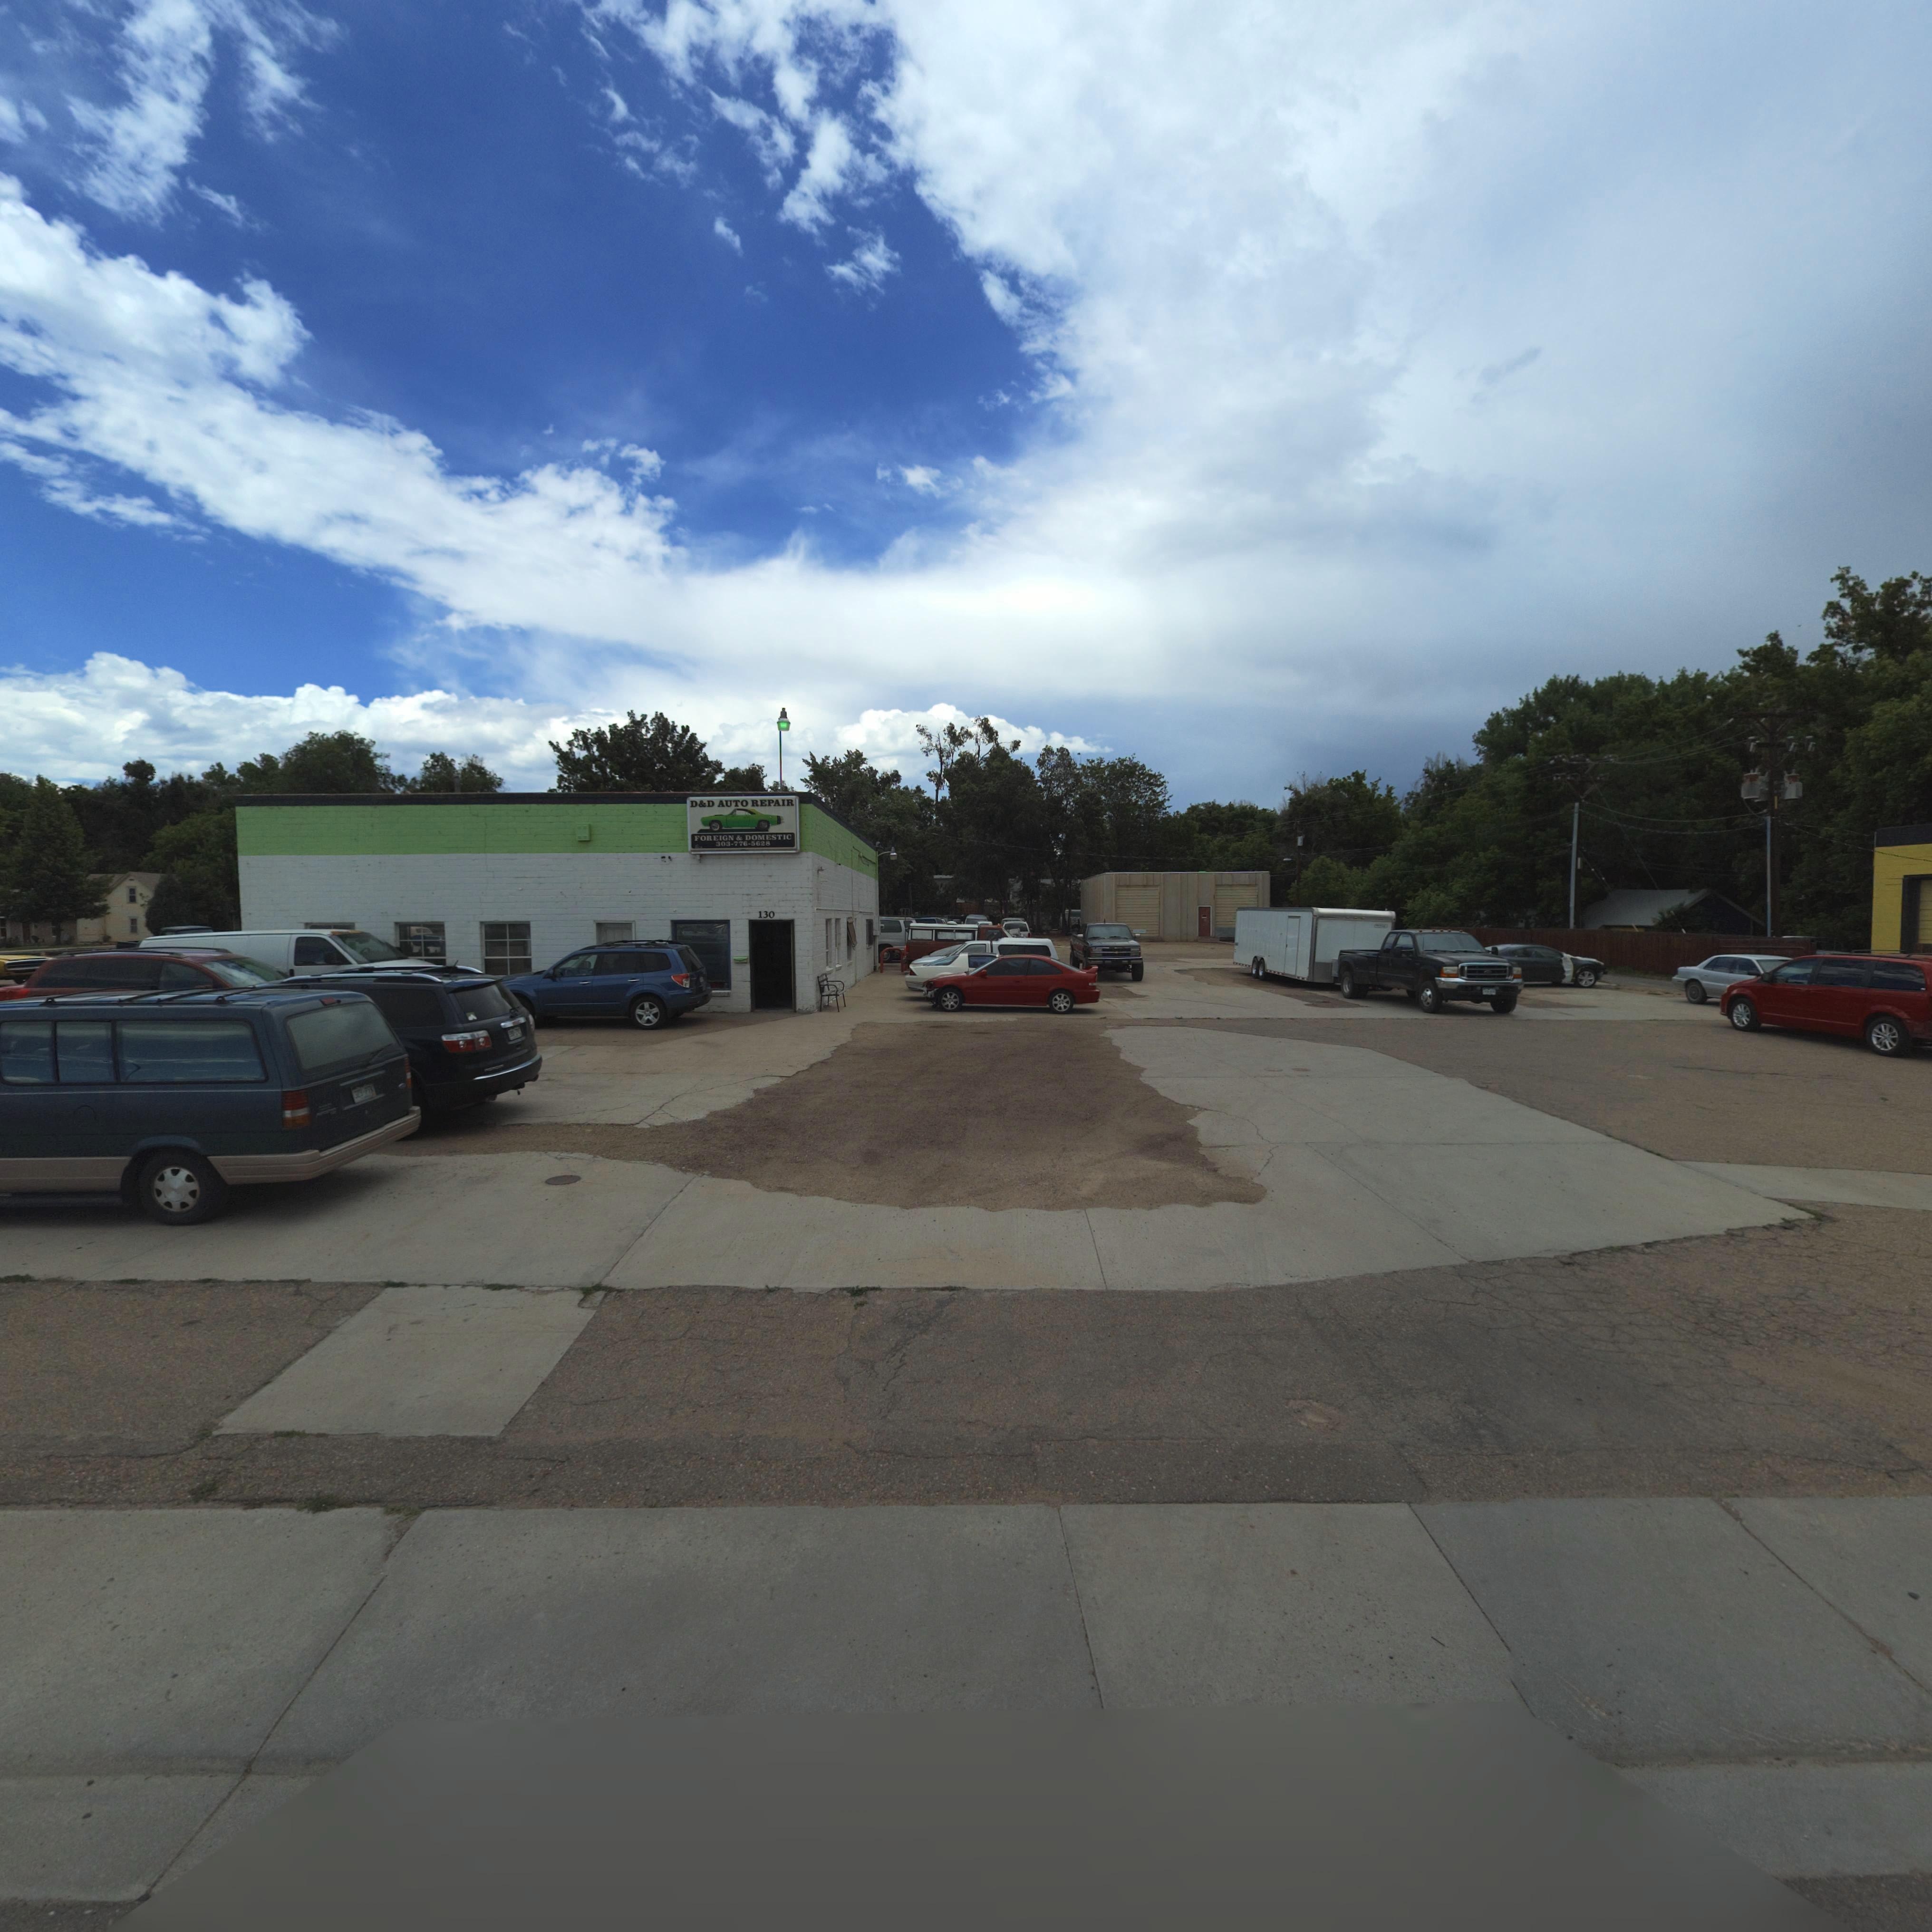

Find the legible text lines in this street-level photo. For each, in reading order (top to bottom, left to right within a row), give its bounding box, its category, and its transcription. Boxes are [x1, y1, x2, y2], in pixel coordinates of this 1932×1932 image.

[689, 798, 794, 808] BusinessName: D&D AUTO REPAIR
[757, 910, 775, 918] StreetNumber: 130